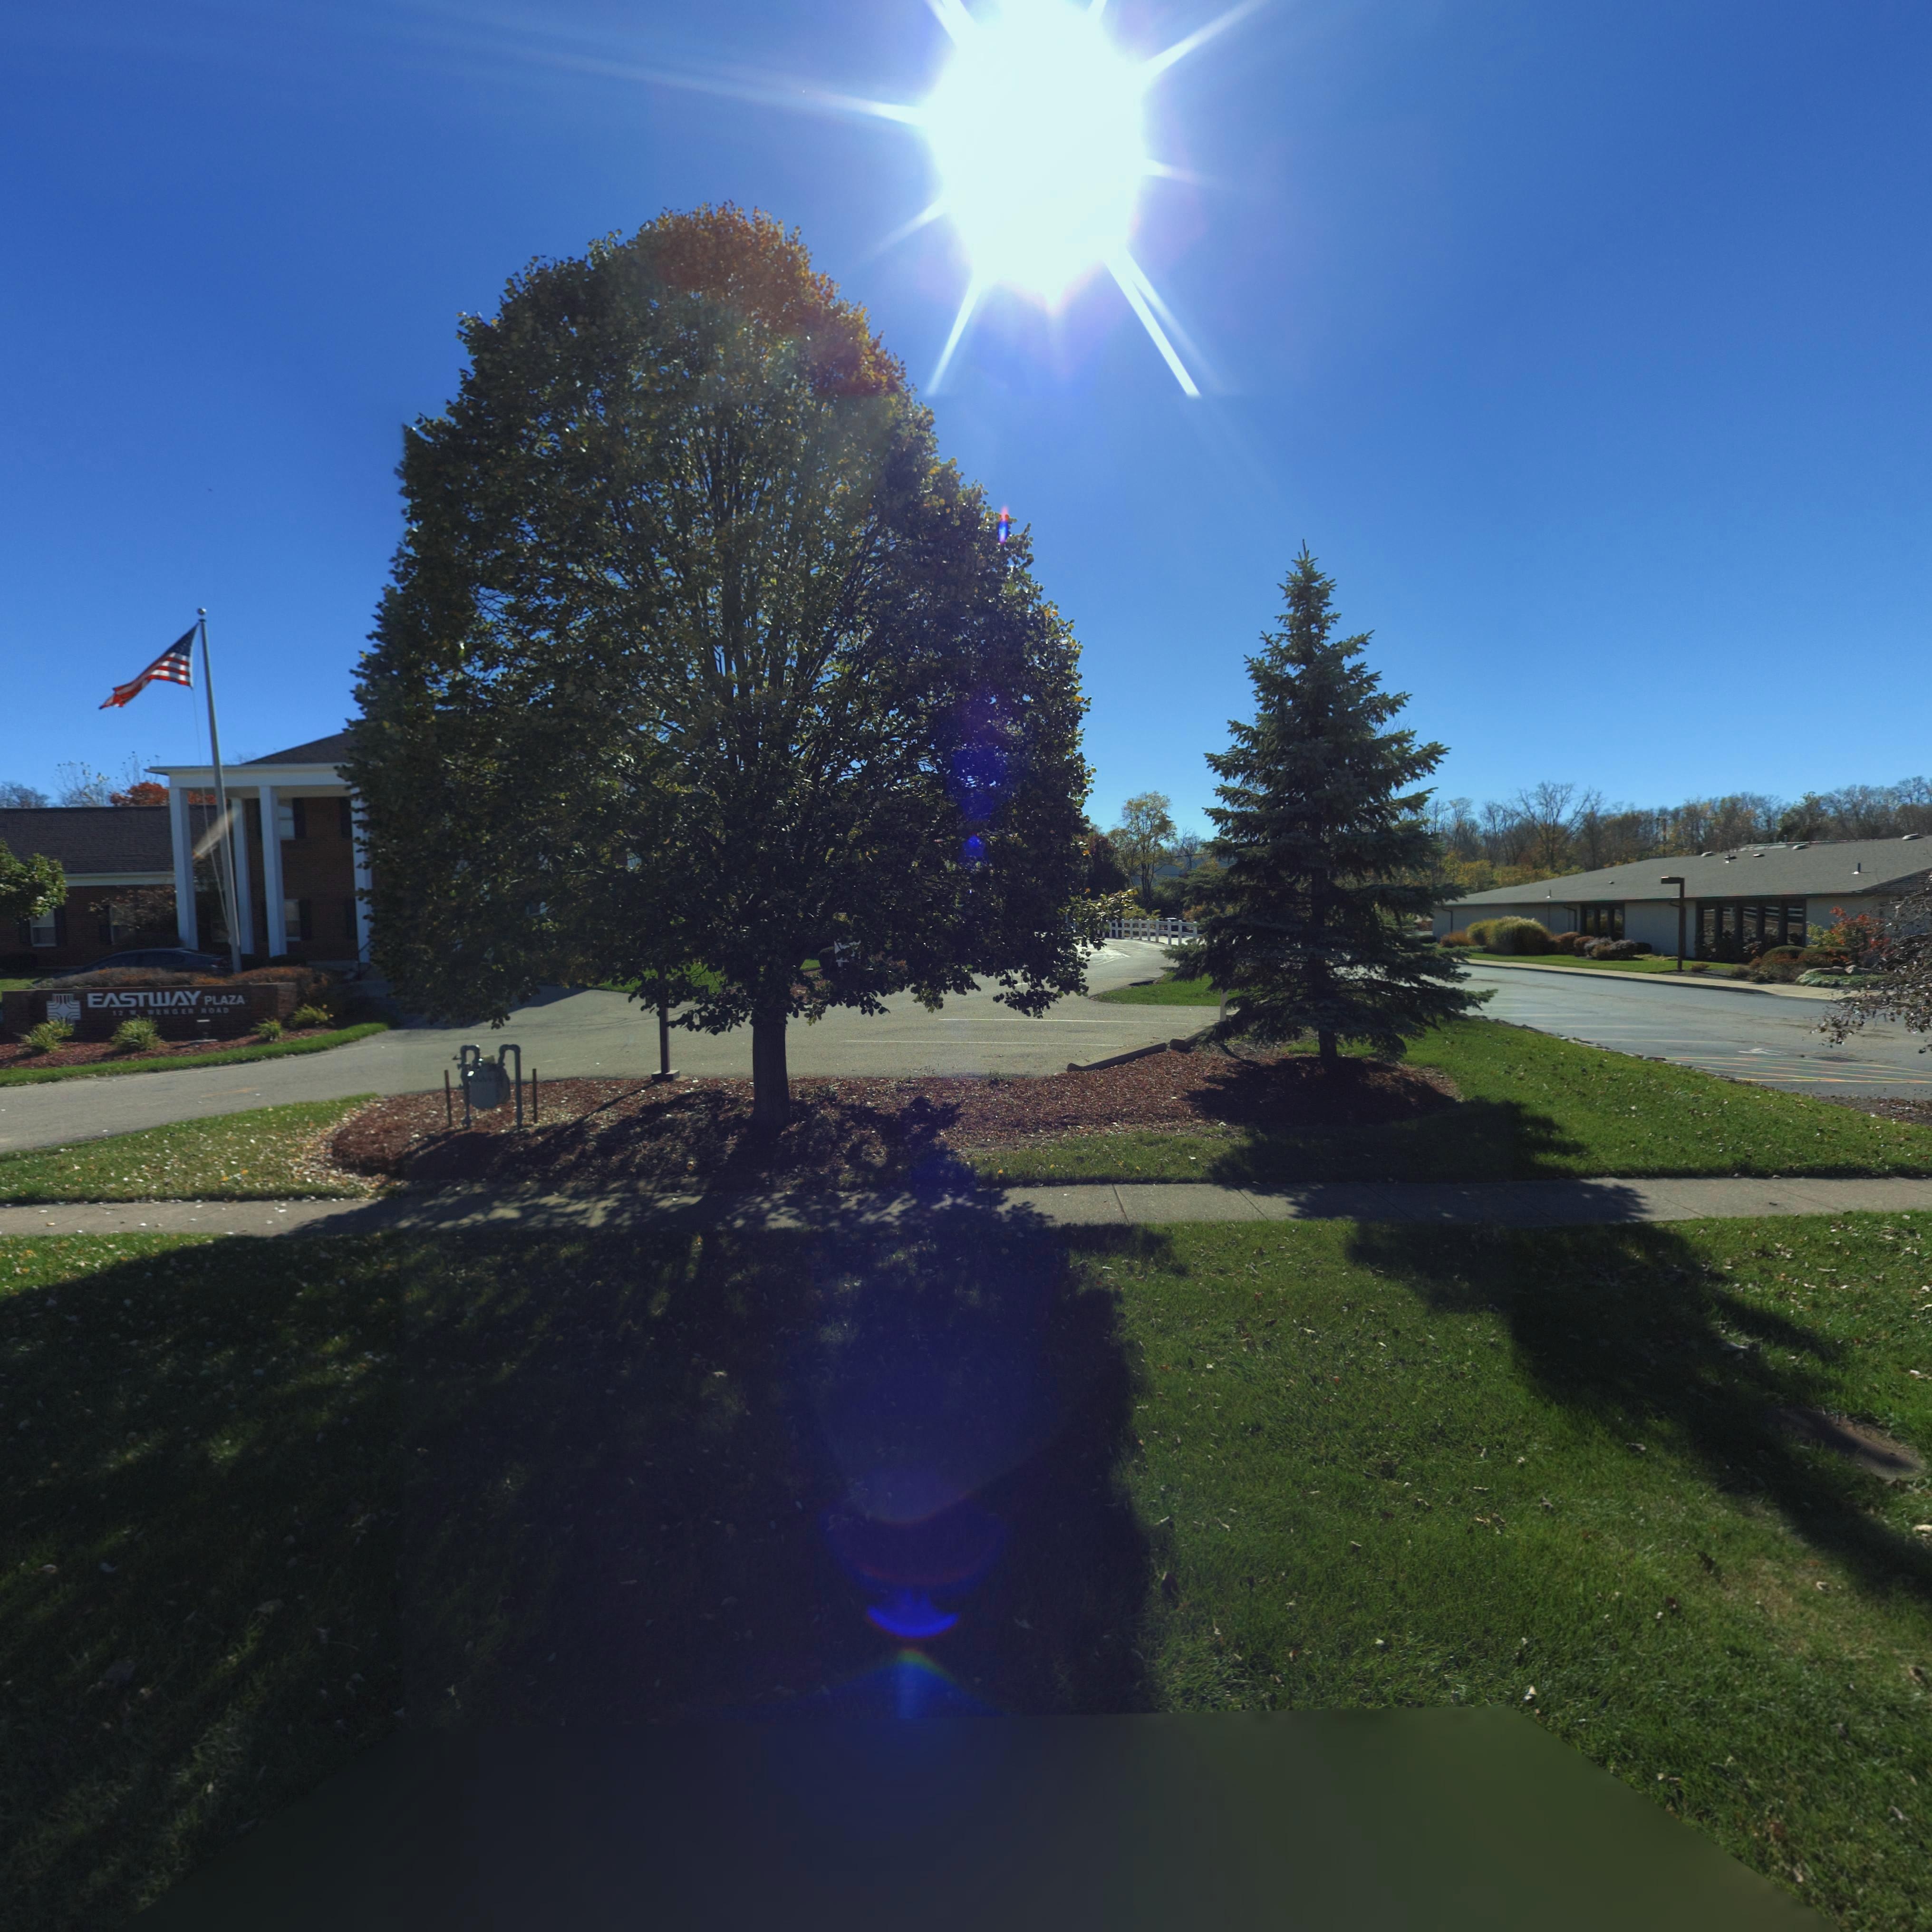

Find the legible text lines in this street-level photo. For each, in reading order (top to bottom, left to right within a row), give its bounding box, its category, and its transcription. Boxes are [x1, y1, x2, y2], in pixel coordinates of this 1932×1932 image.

[86, 989, 247, 1009] BusinessName: EASTWAY PLAZA
[111, 1010, 125, 1017] StreetNumber: 12
[127, 1006, 230, 1016] StreetName: W WENGER ROAD